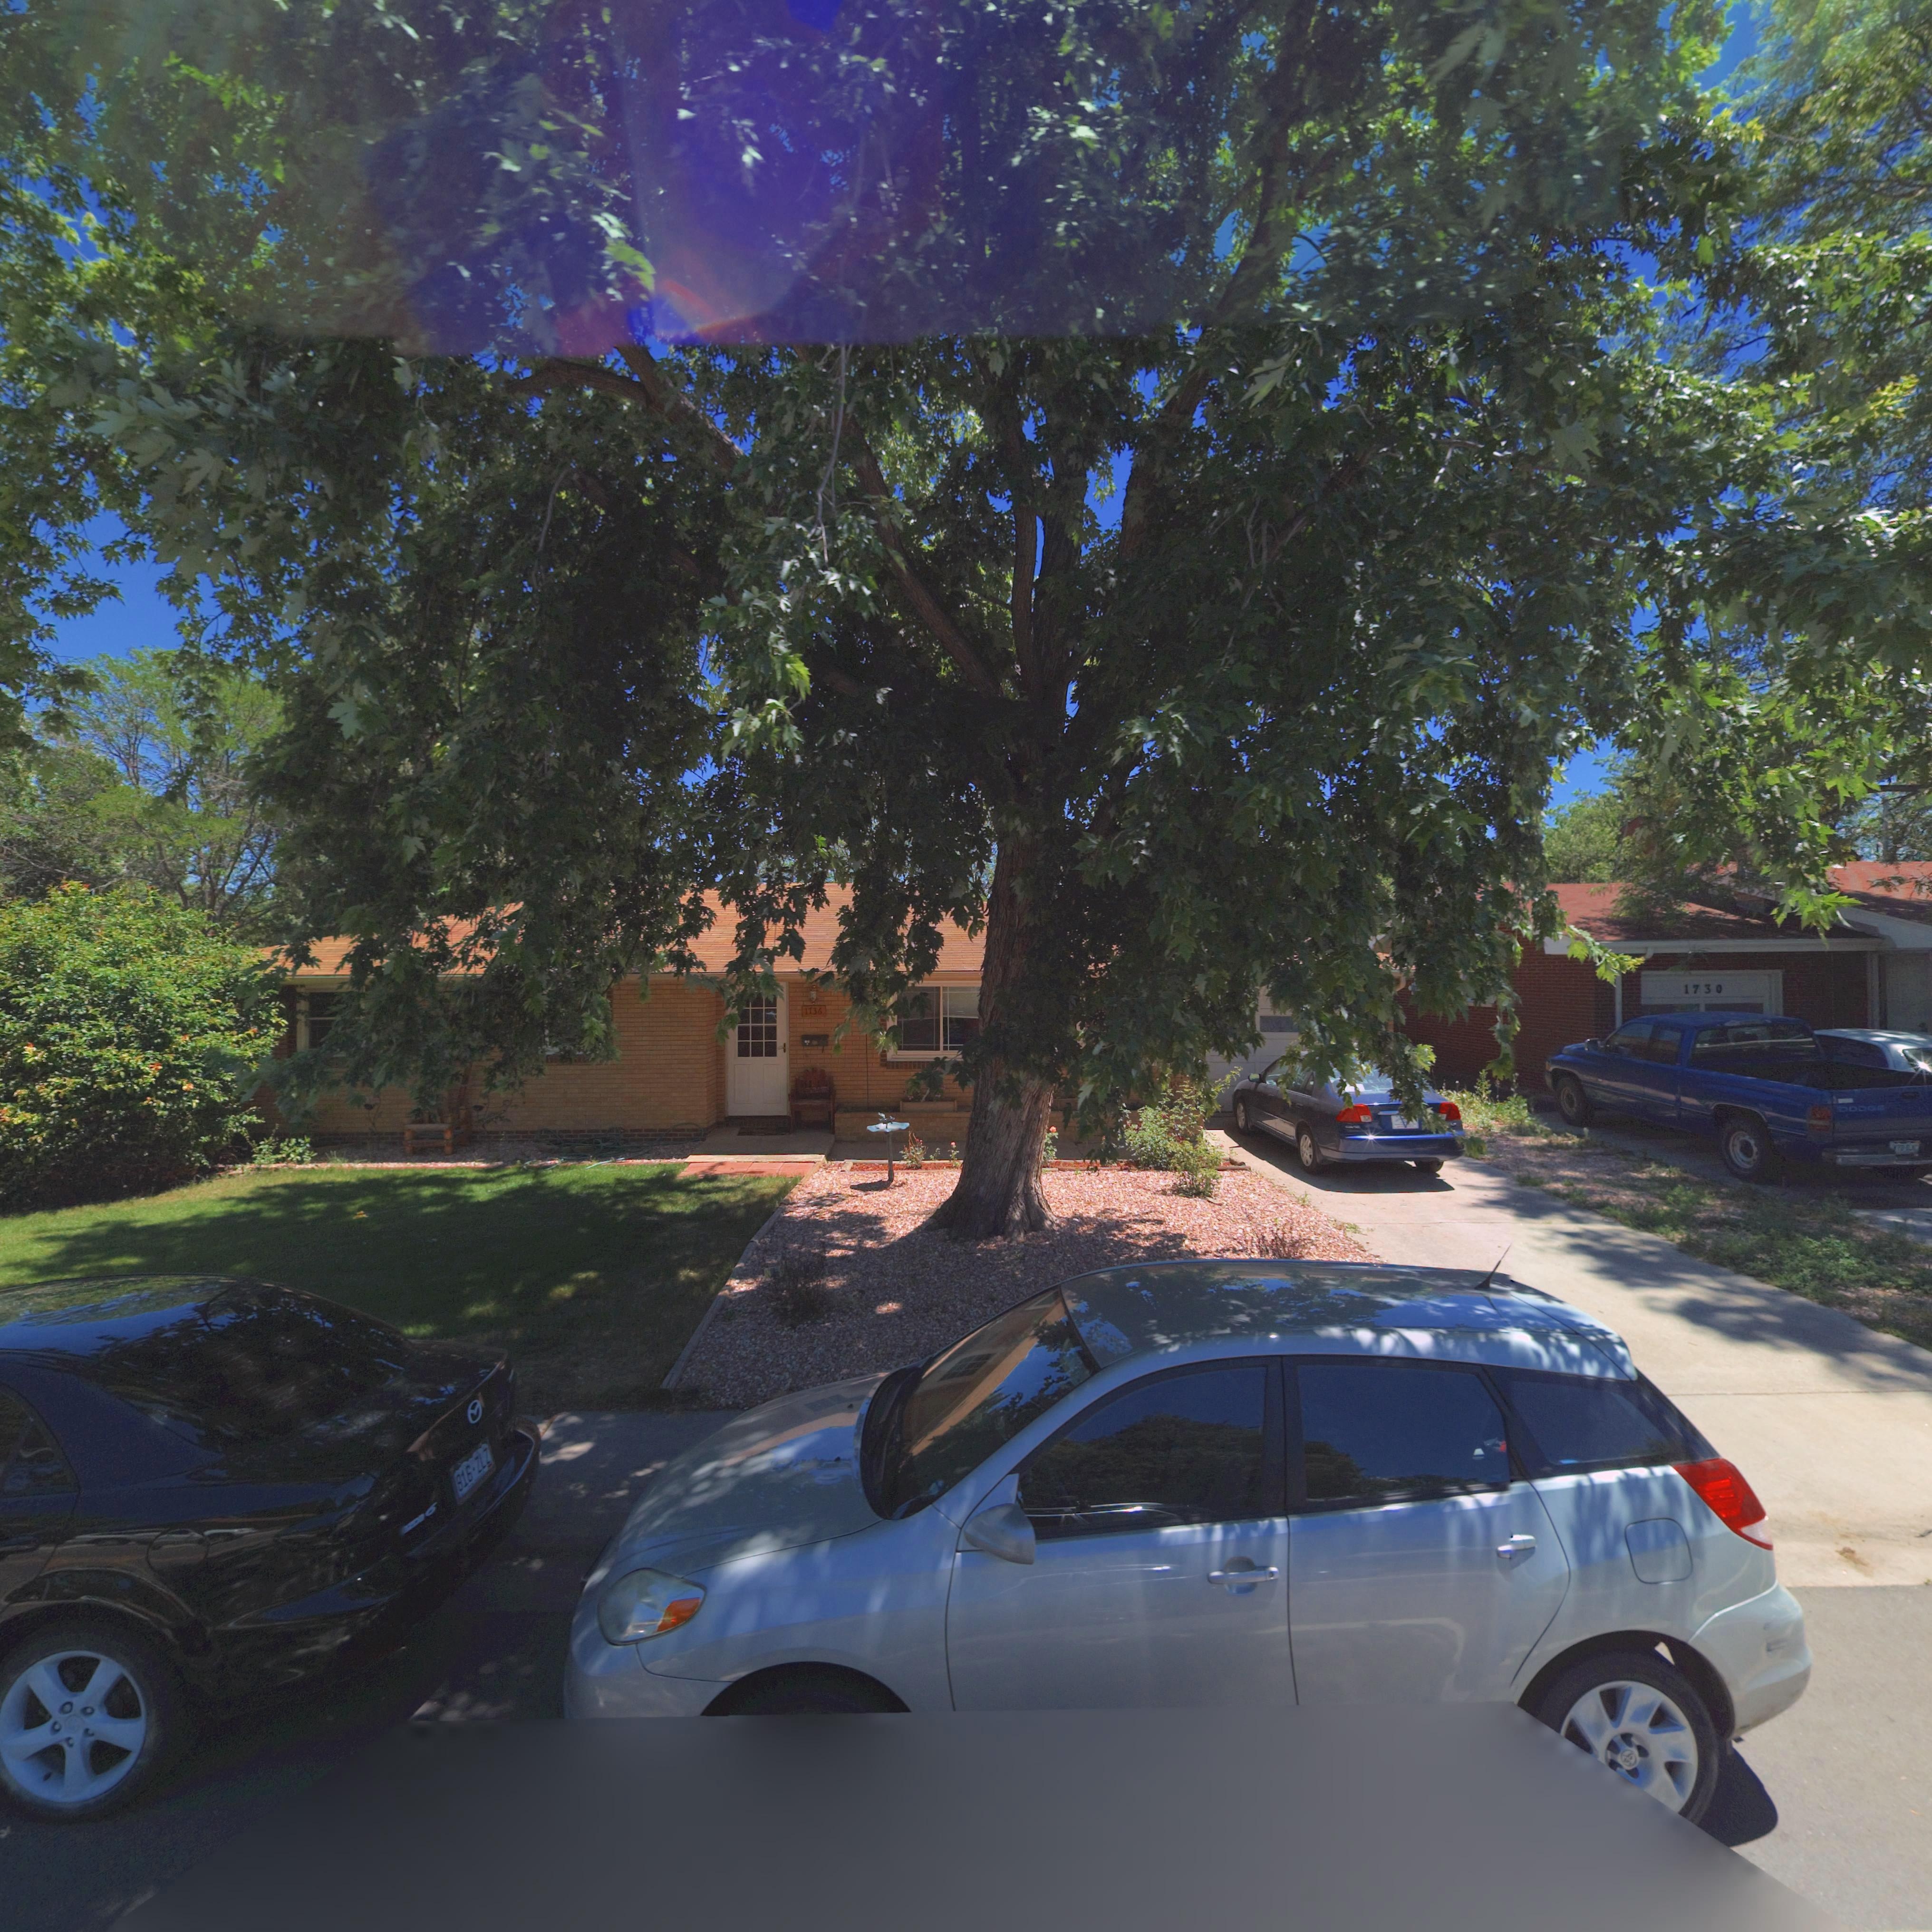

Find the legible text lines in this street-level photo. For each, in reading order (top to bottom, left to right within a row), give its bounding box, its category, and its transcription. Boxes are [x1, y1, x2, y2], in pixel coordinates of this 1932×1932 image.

[1683, 983, 1722, 995] StreetNumber: 1730
[805, 1007, 822, 1015] StreetNumber: 1736